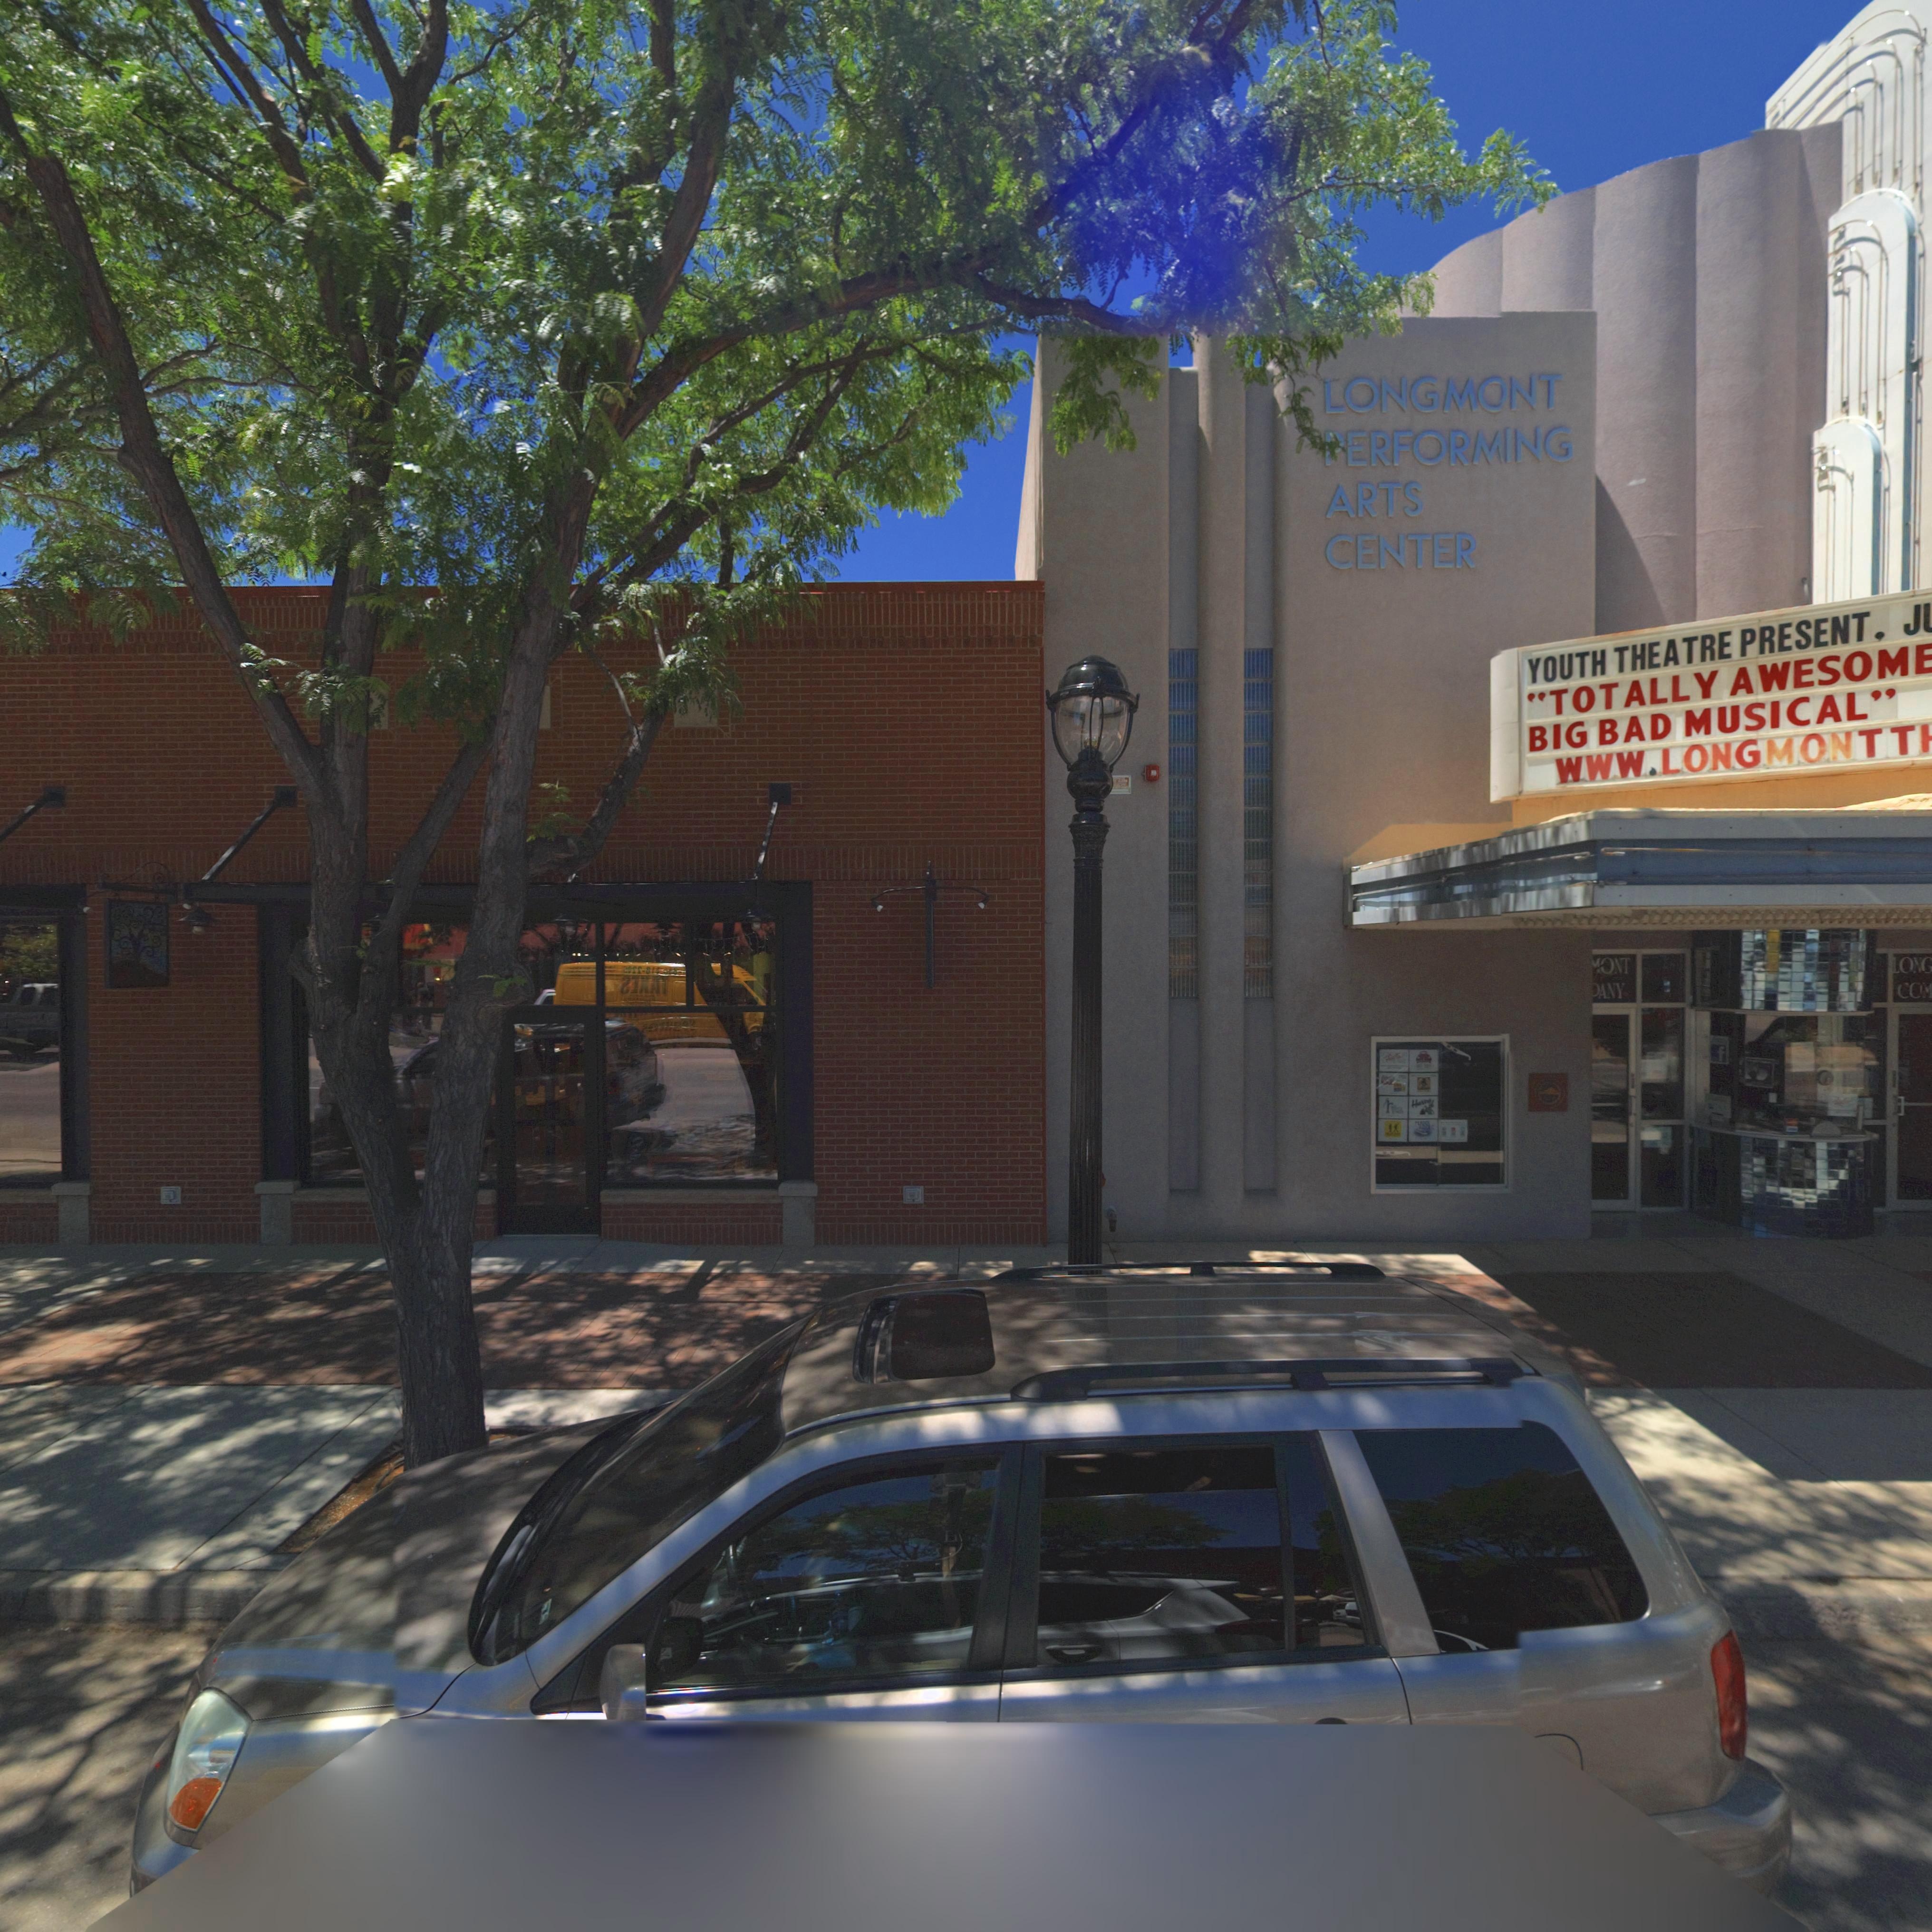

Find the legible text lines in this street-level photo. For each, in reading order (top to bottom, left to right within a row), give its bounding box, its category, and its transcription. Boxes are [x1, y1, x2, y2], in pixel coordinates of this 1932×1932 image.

[1322, 372, 1565, 415] BusinessName: LONGMONT
[1323, 425, 1575, 468] BusinessName: *ERFORMING
[1324, 481, 1424, 519] BusinessName: ARTS
[1323, 532, 1477, 570] BusinessName: CENTER